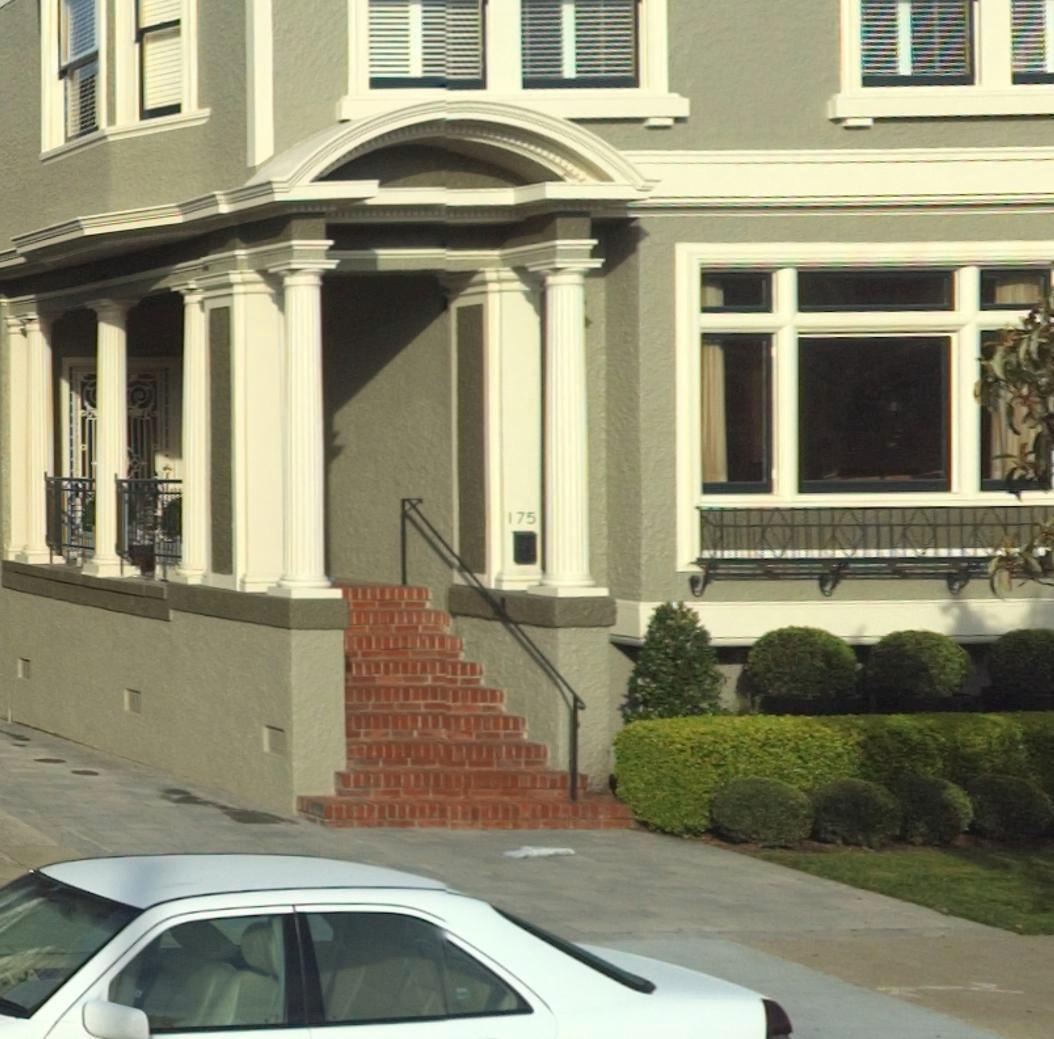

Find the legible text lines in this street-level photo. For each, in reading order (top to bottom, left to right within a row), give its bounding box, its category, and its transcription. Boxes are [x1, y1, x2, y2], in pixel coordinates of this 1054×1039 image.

[506, 509, 539, 527] StreetNumber: 175